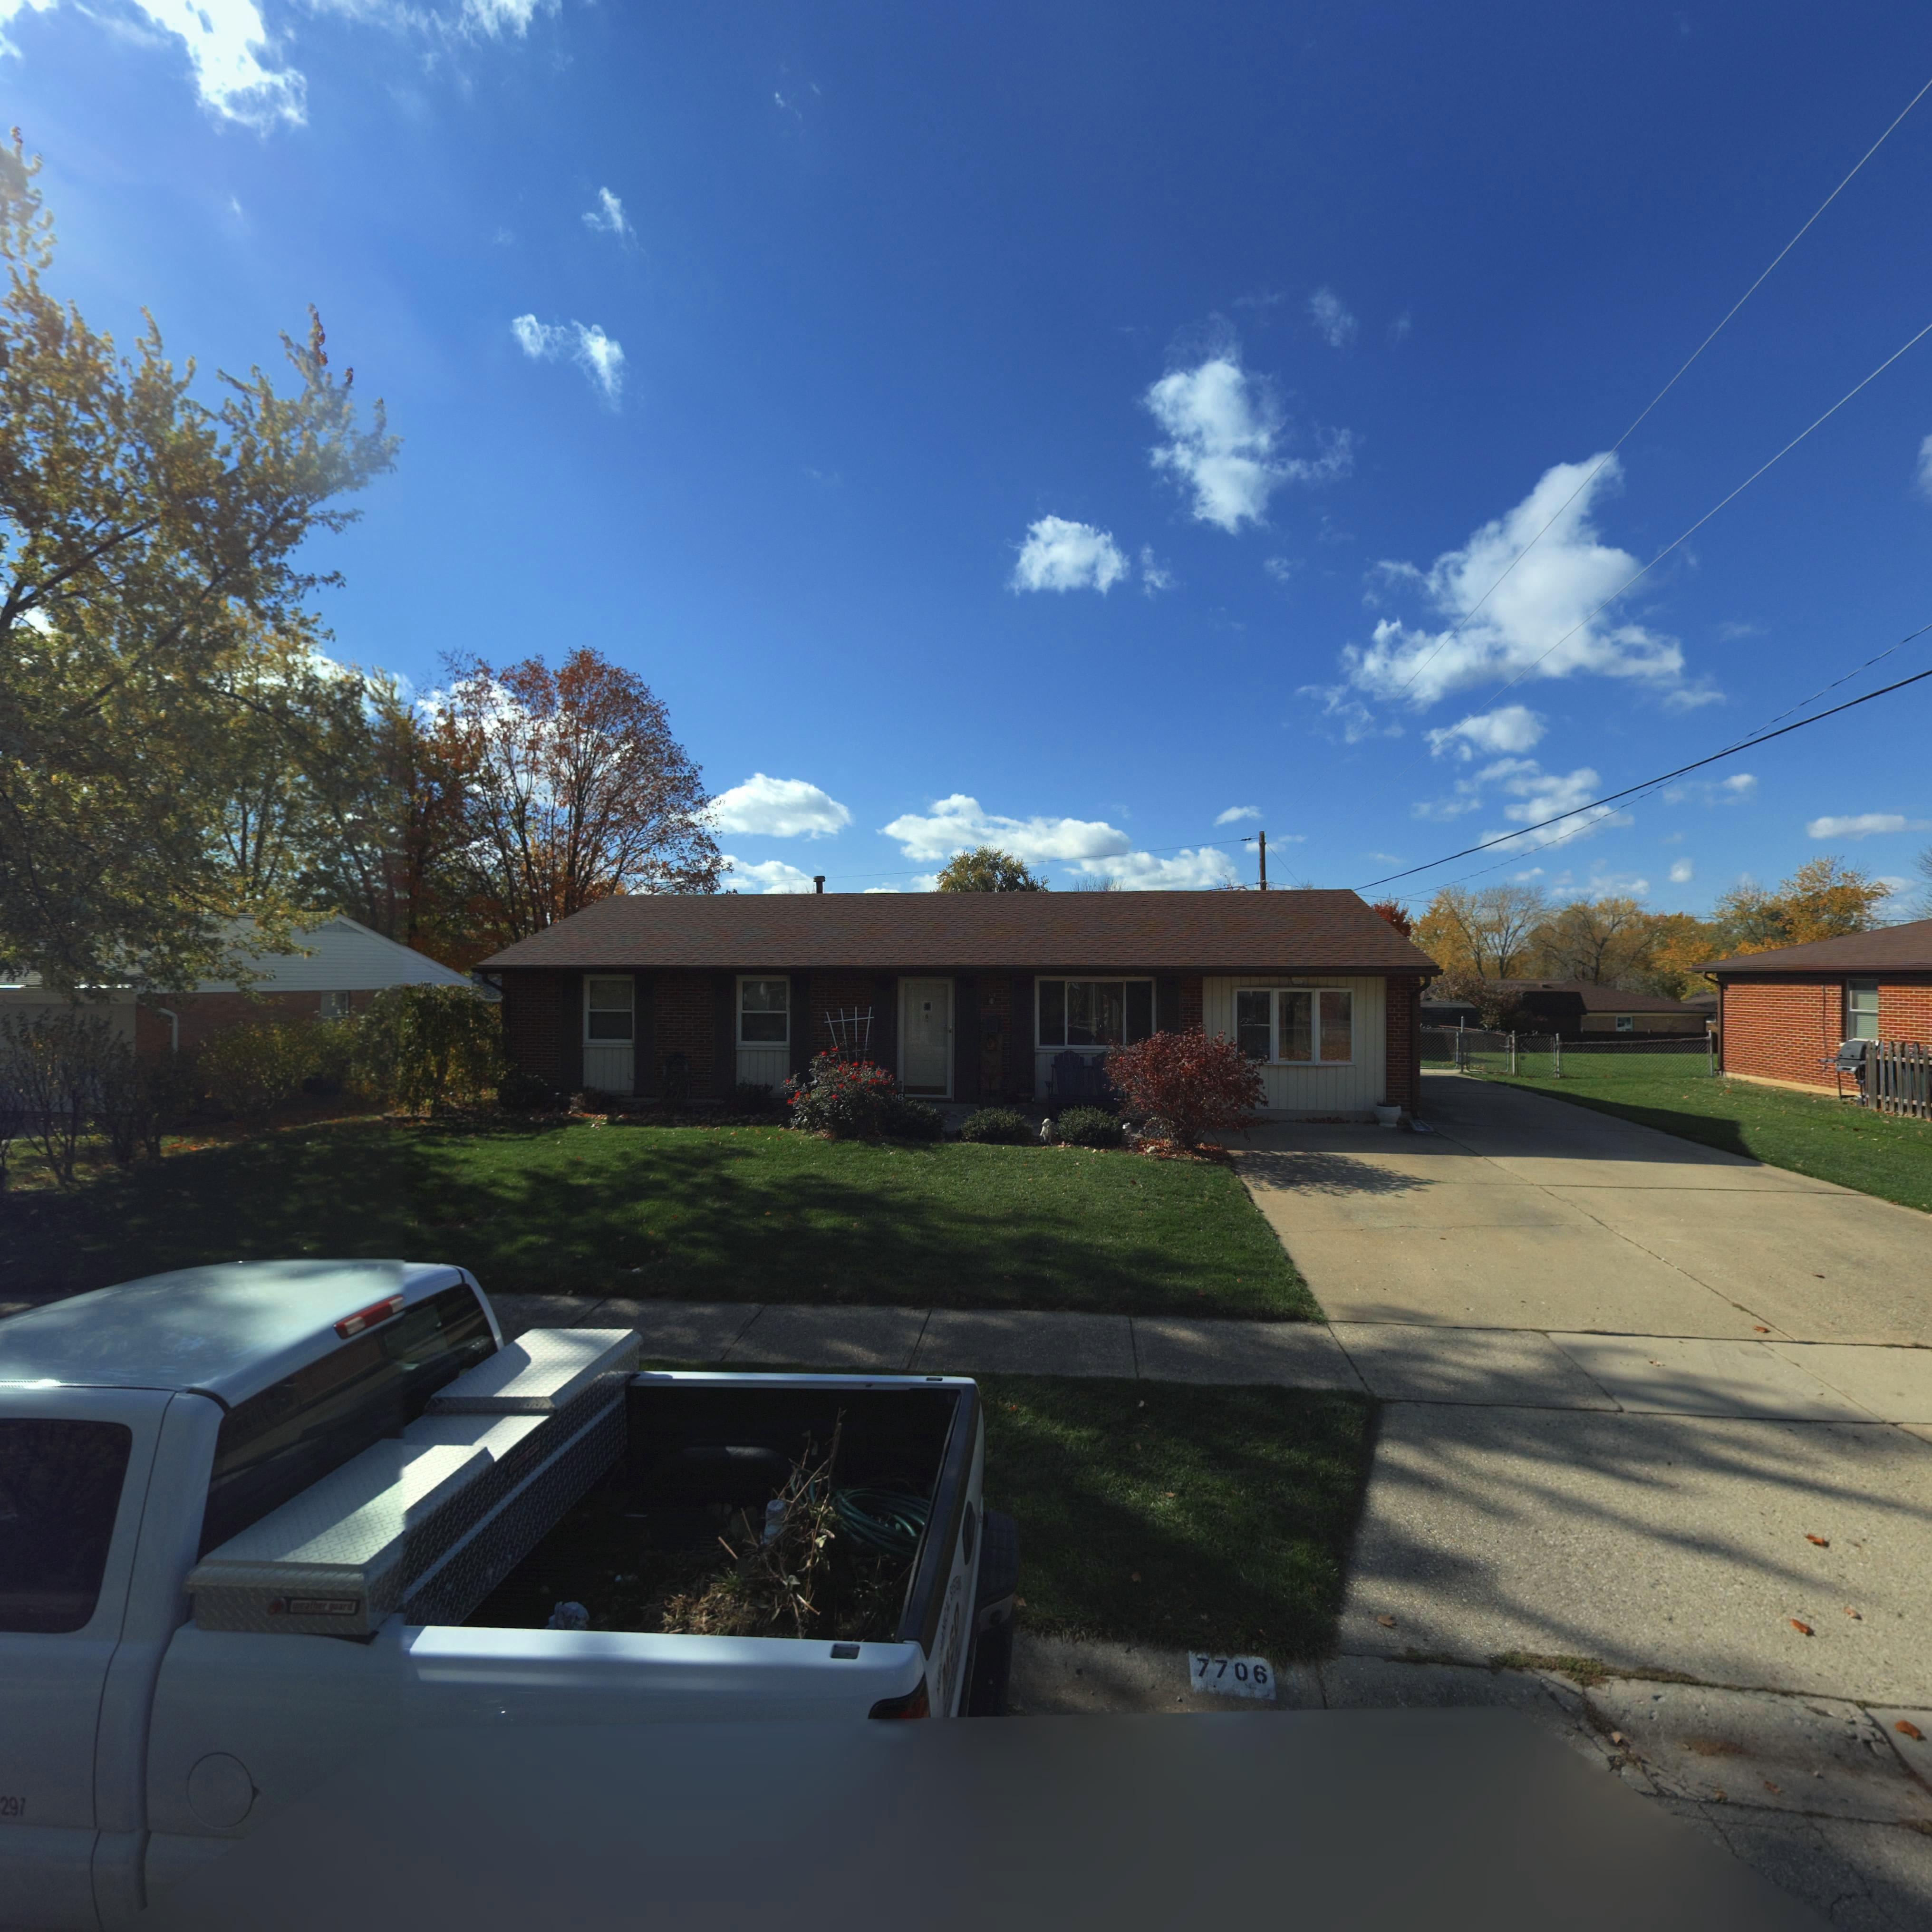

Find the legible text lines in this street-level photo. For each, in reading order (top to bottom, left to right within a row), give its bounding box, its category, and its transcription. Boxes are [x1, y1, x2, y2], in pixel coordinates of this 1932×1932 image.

[1196, 1656, 1268, 1685] StreetNumber: 7706